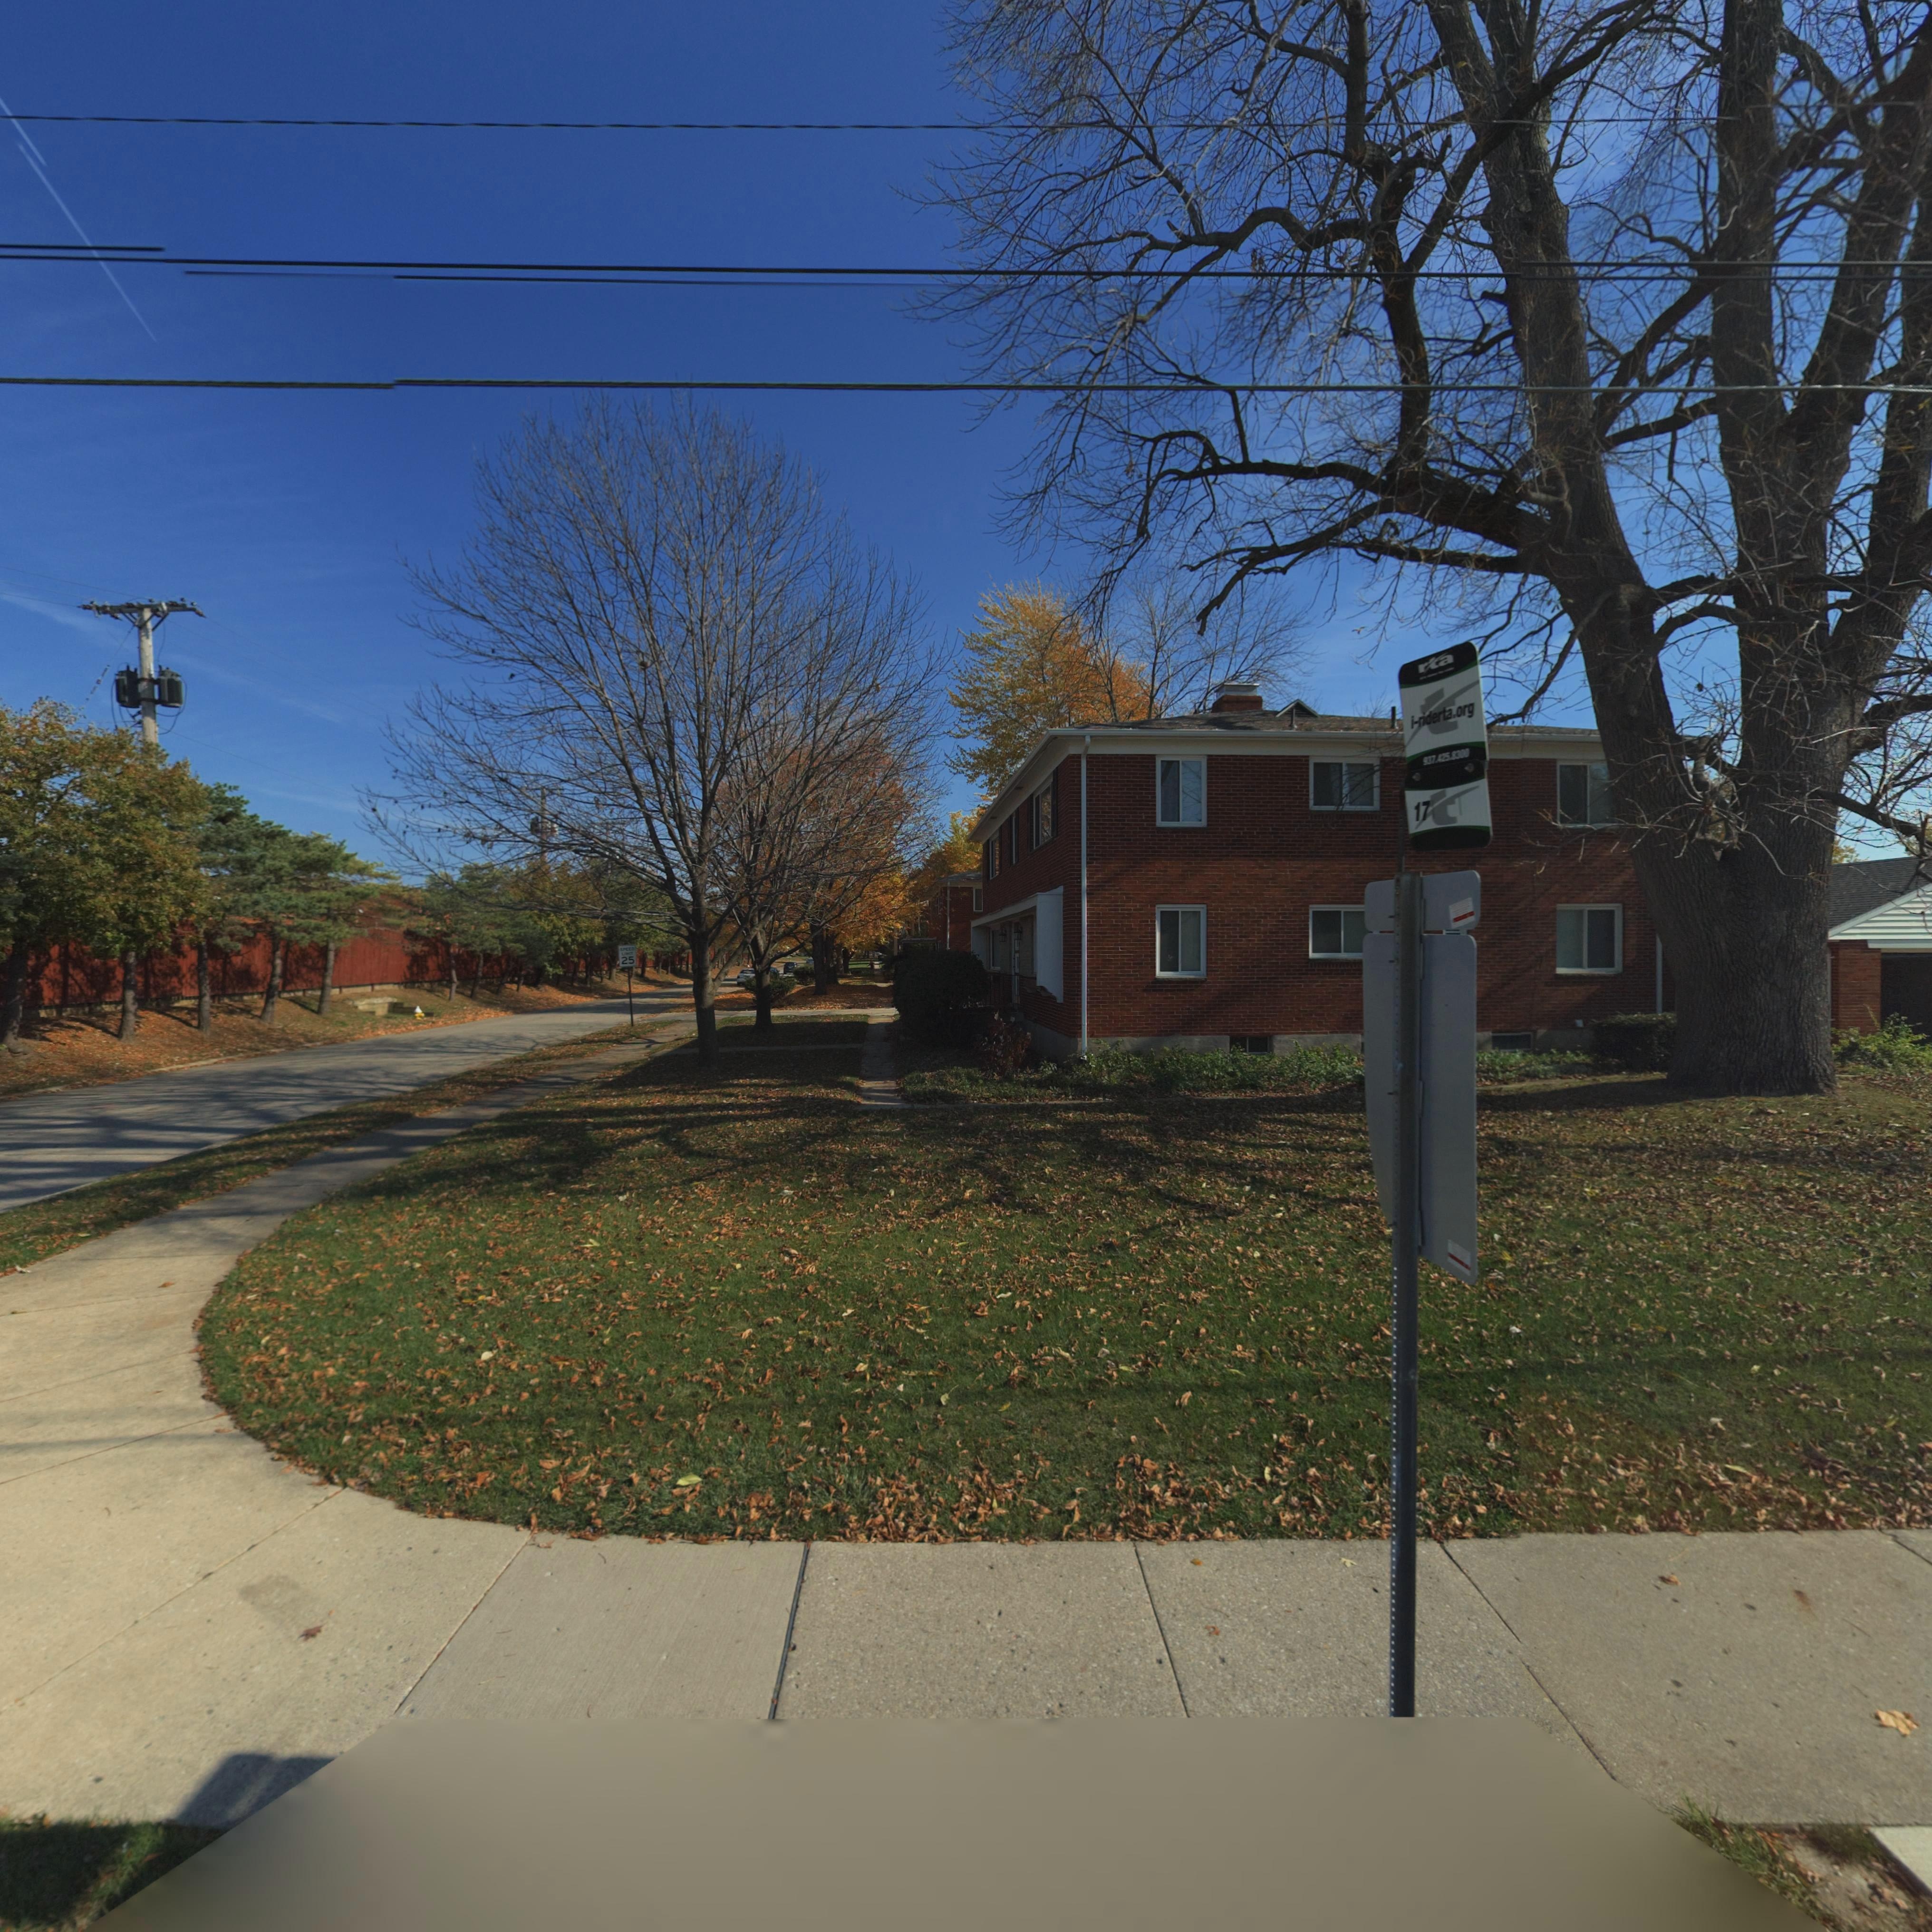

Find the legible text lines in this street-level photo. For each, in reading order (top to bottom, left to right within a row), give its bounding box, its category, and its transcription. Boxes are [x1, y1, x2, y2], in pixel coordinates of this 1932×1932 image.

[1418, 654, 1454, 674] None: rta
[1410, 703, 1475, 730] None: i-riderta.org
[1422, 747, 1470, 767] None: 937.425.8300
[1414, 800, 1430, 822] None: 17
[619, 947, 635, 951] None: SPEED
[621, 951, 634, 956] None: LIMIT
[620, 956, 635, 965] None: 25